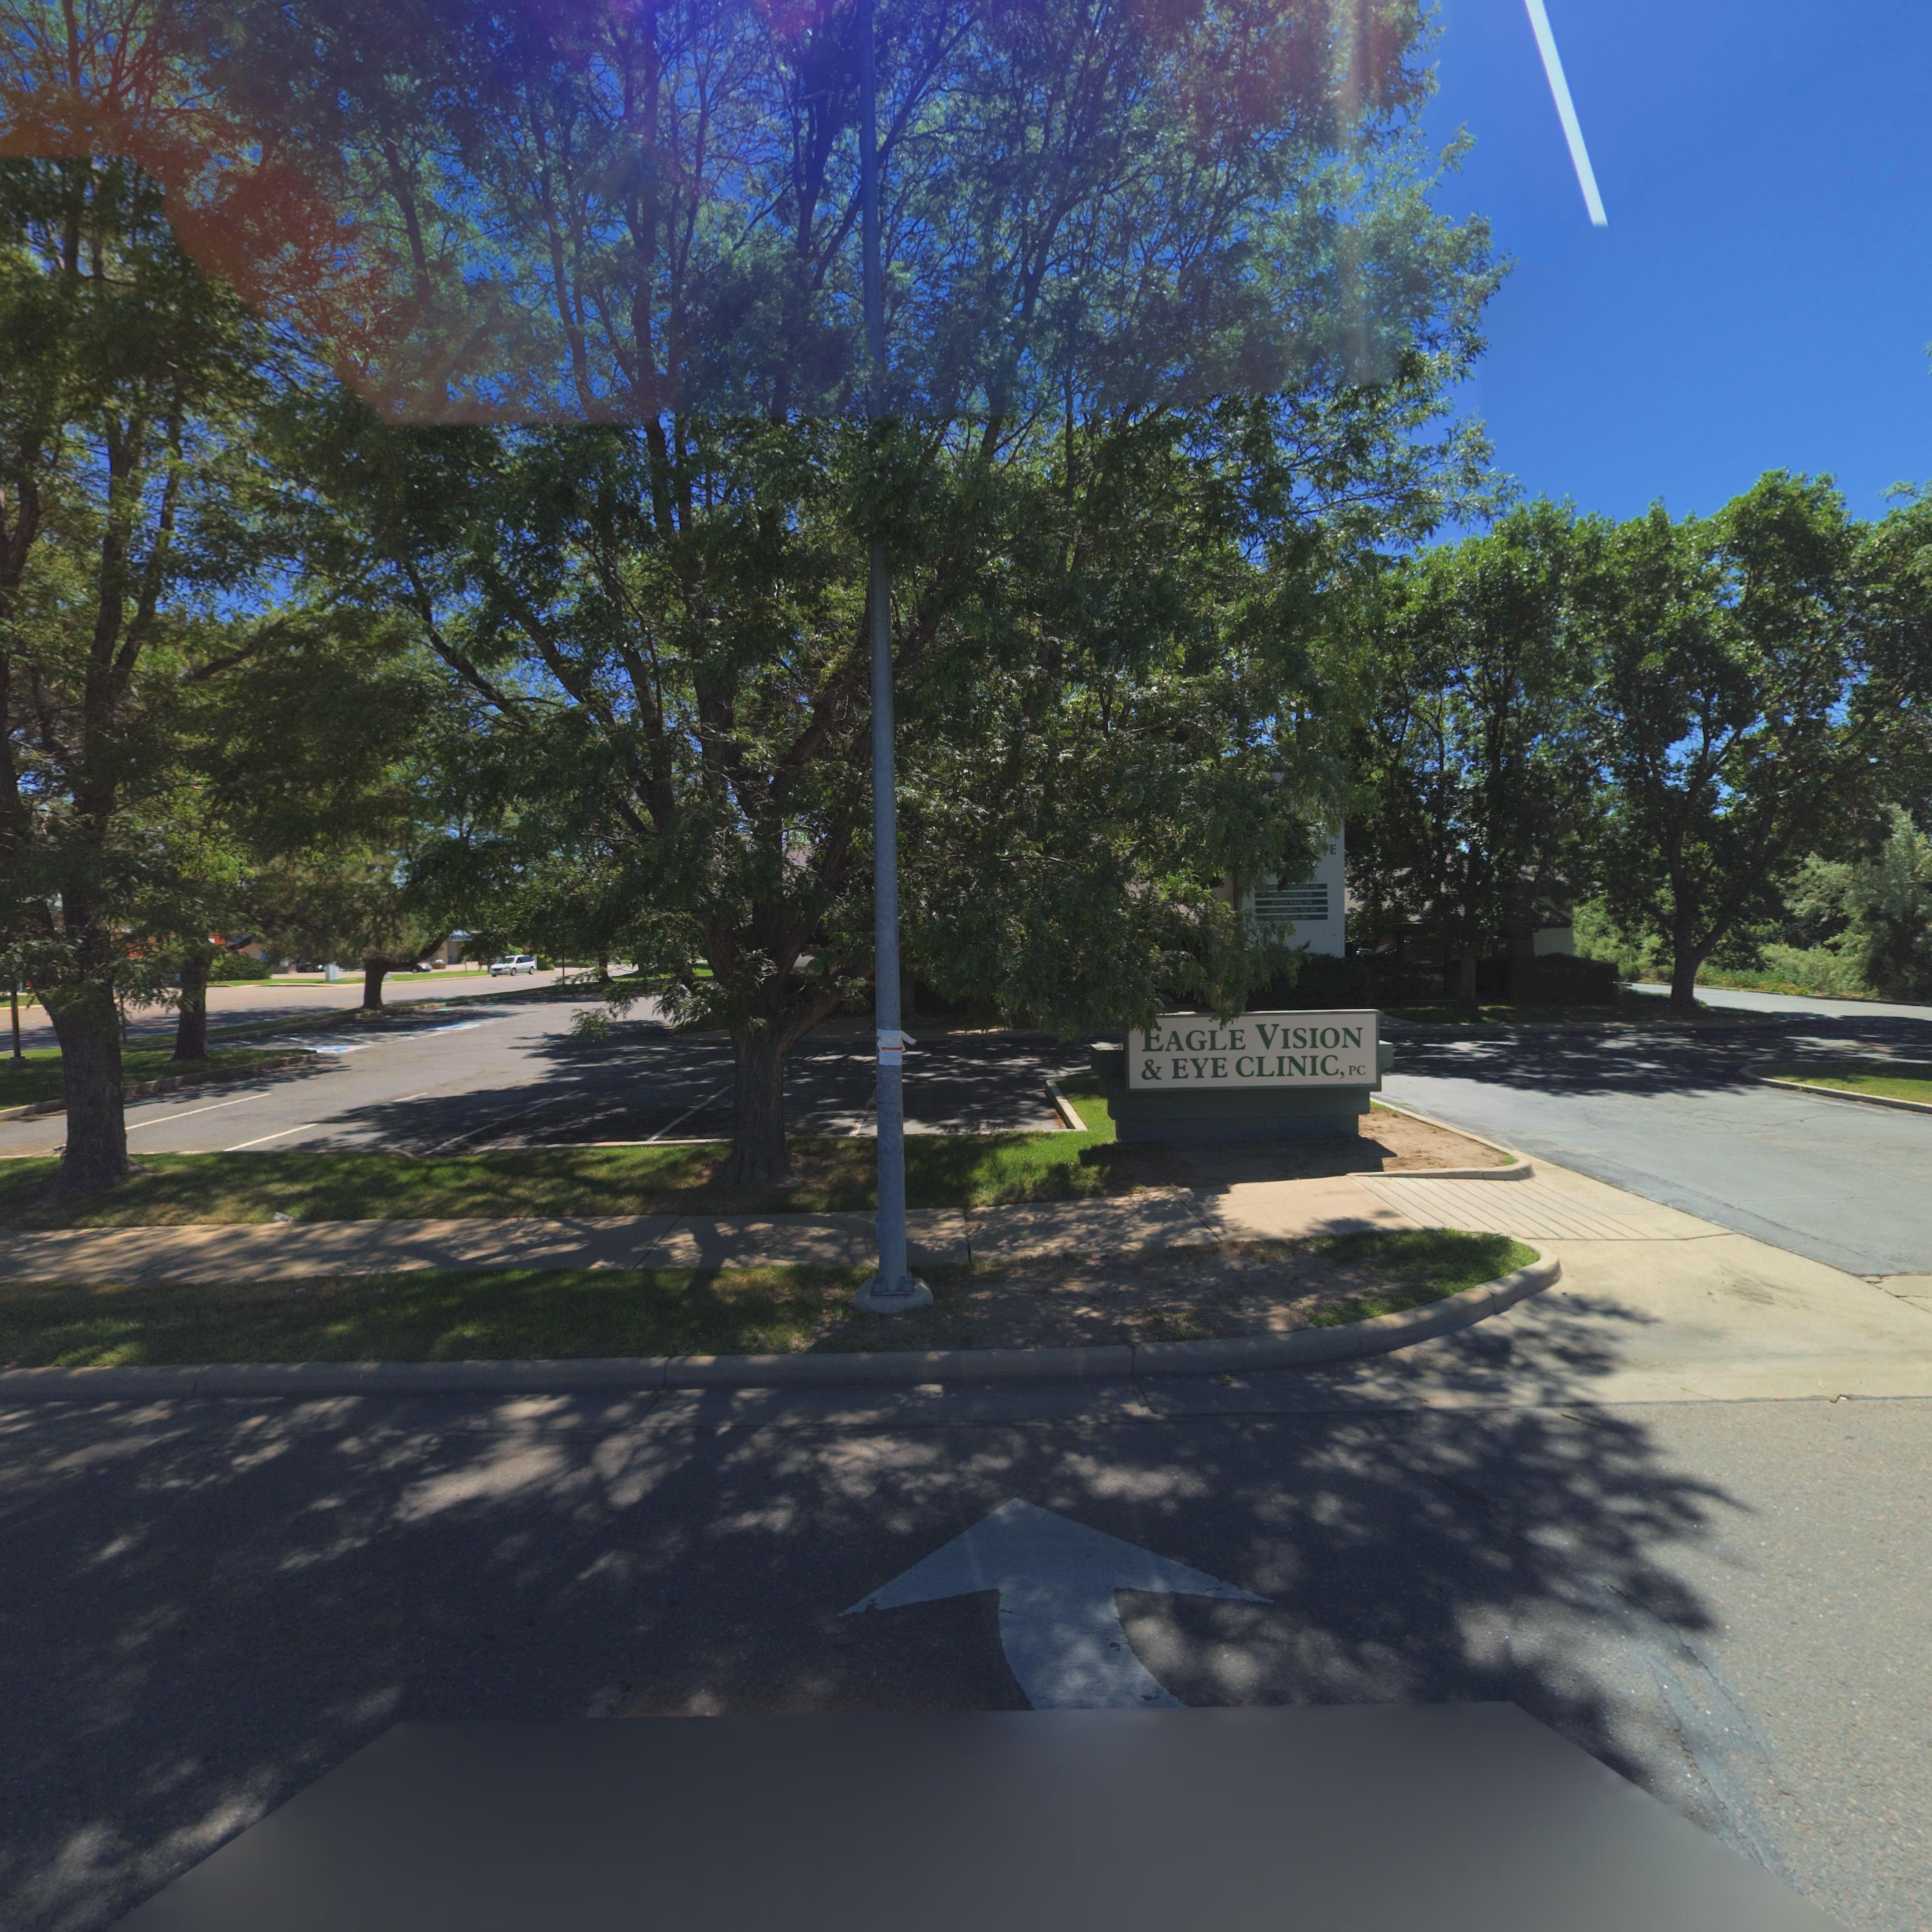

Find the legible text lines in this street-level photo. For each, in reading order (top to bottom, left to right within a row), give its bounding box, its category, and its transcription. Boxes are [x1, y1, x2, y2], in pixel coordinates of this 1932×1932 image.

[1142, 1023, 1363, 1052] BusinessName: EAGLE VISION
[1140, 1054, 1366, 1081] BusinessName: & EYE CLINIC, PC